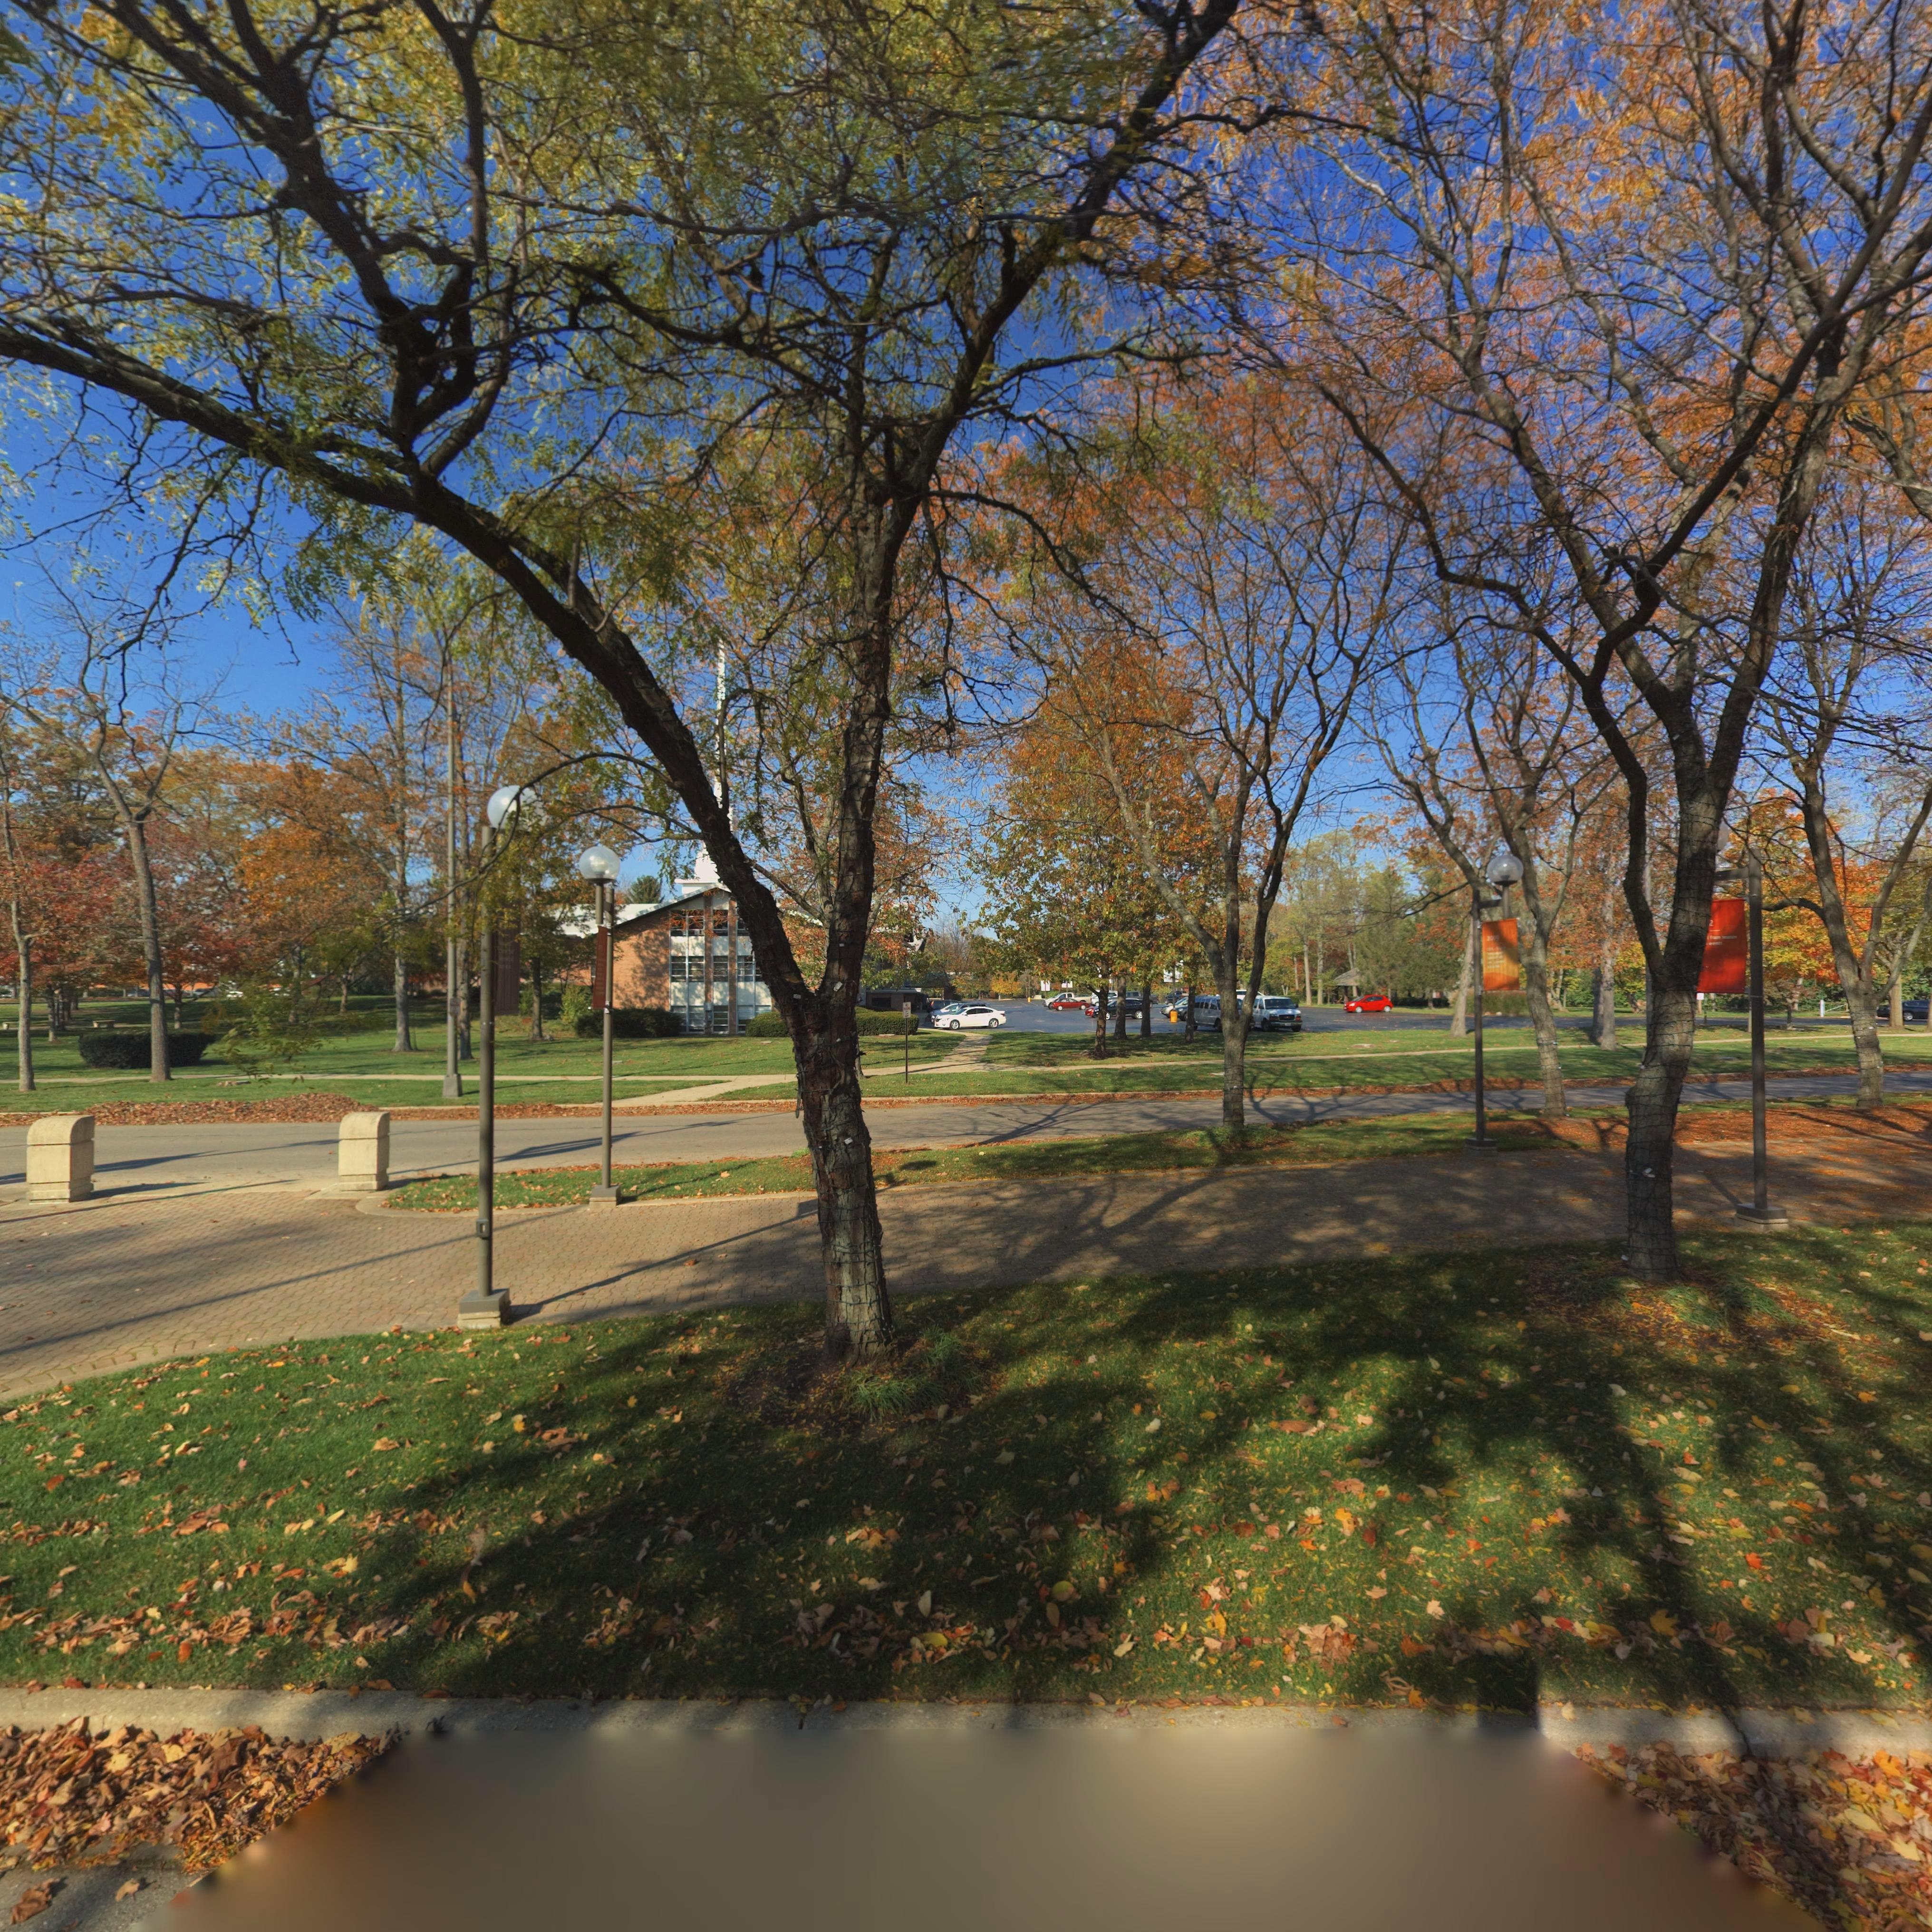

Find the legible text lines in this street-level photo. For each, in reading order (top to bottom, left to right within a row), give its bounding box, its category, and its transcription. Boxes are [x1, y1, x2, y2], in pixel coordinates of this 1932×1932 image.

[1486, 935, 1499, 942] None: 2009